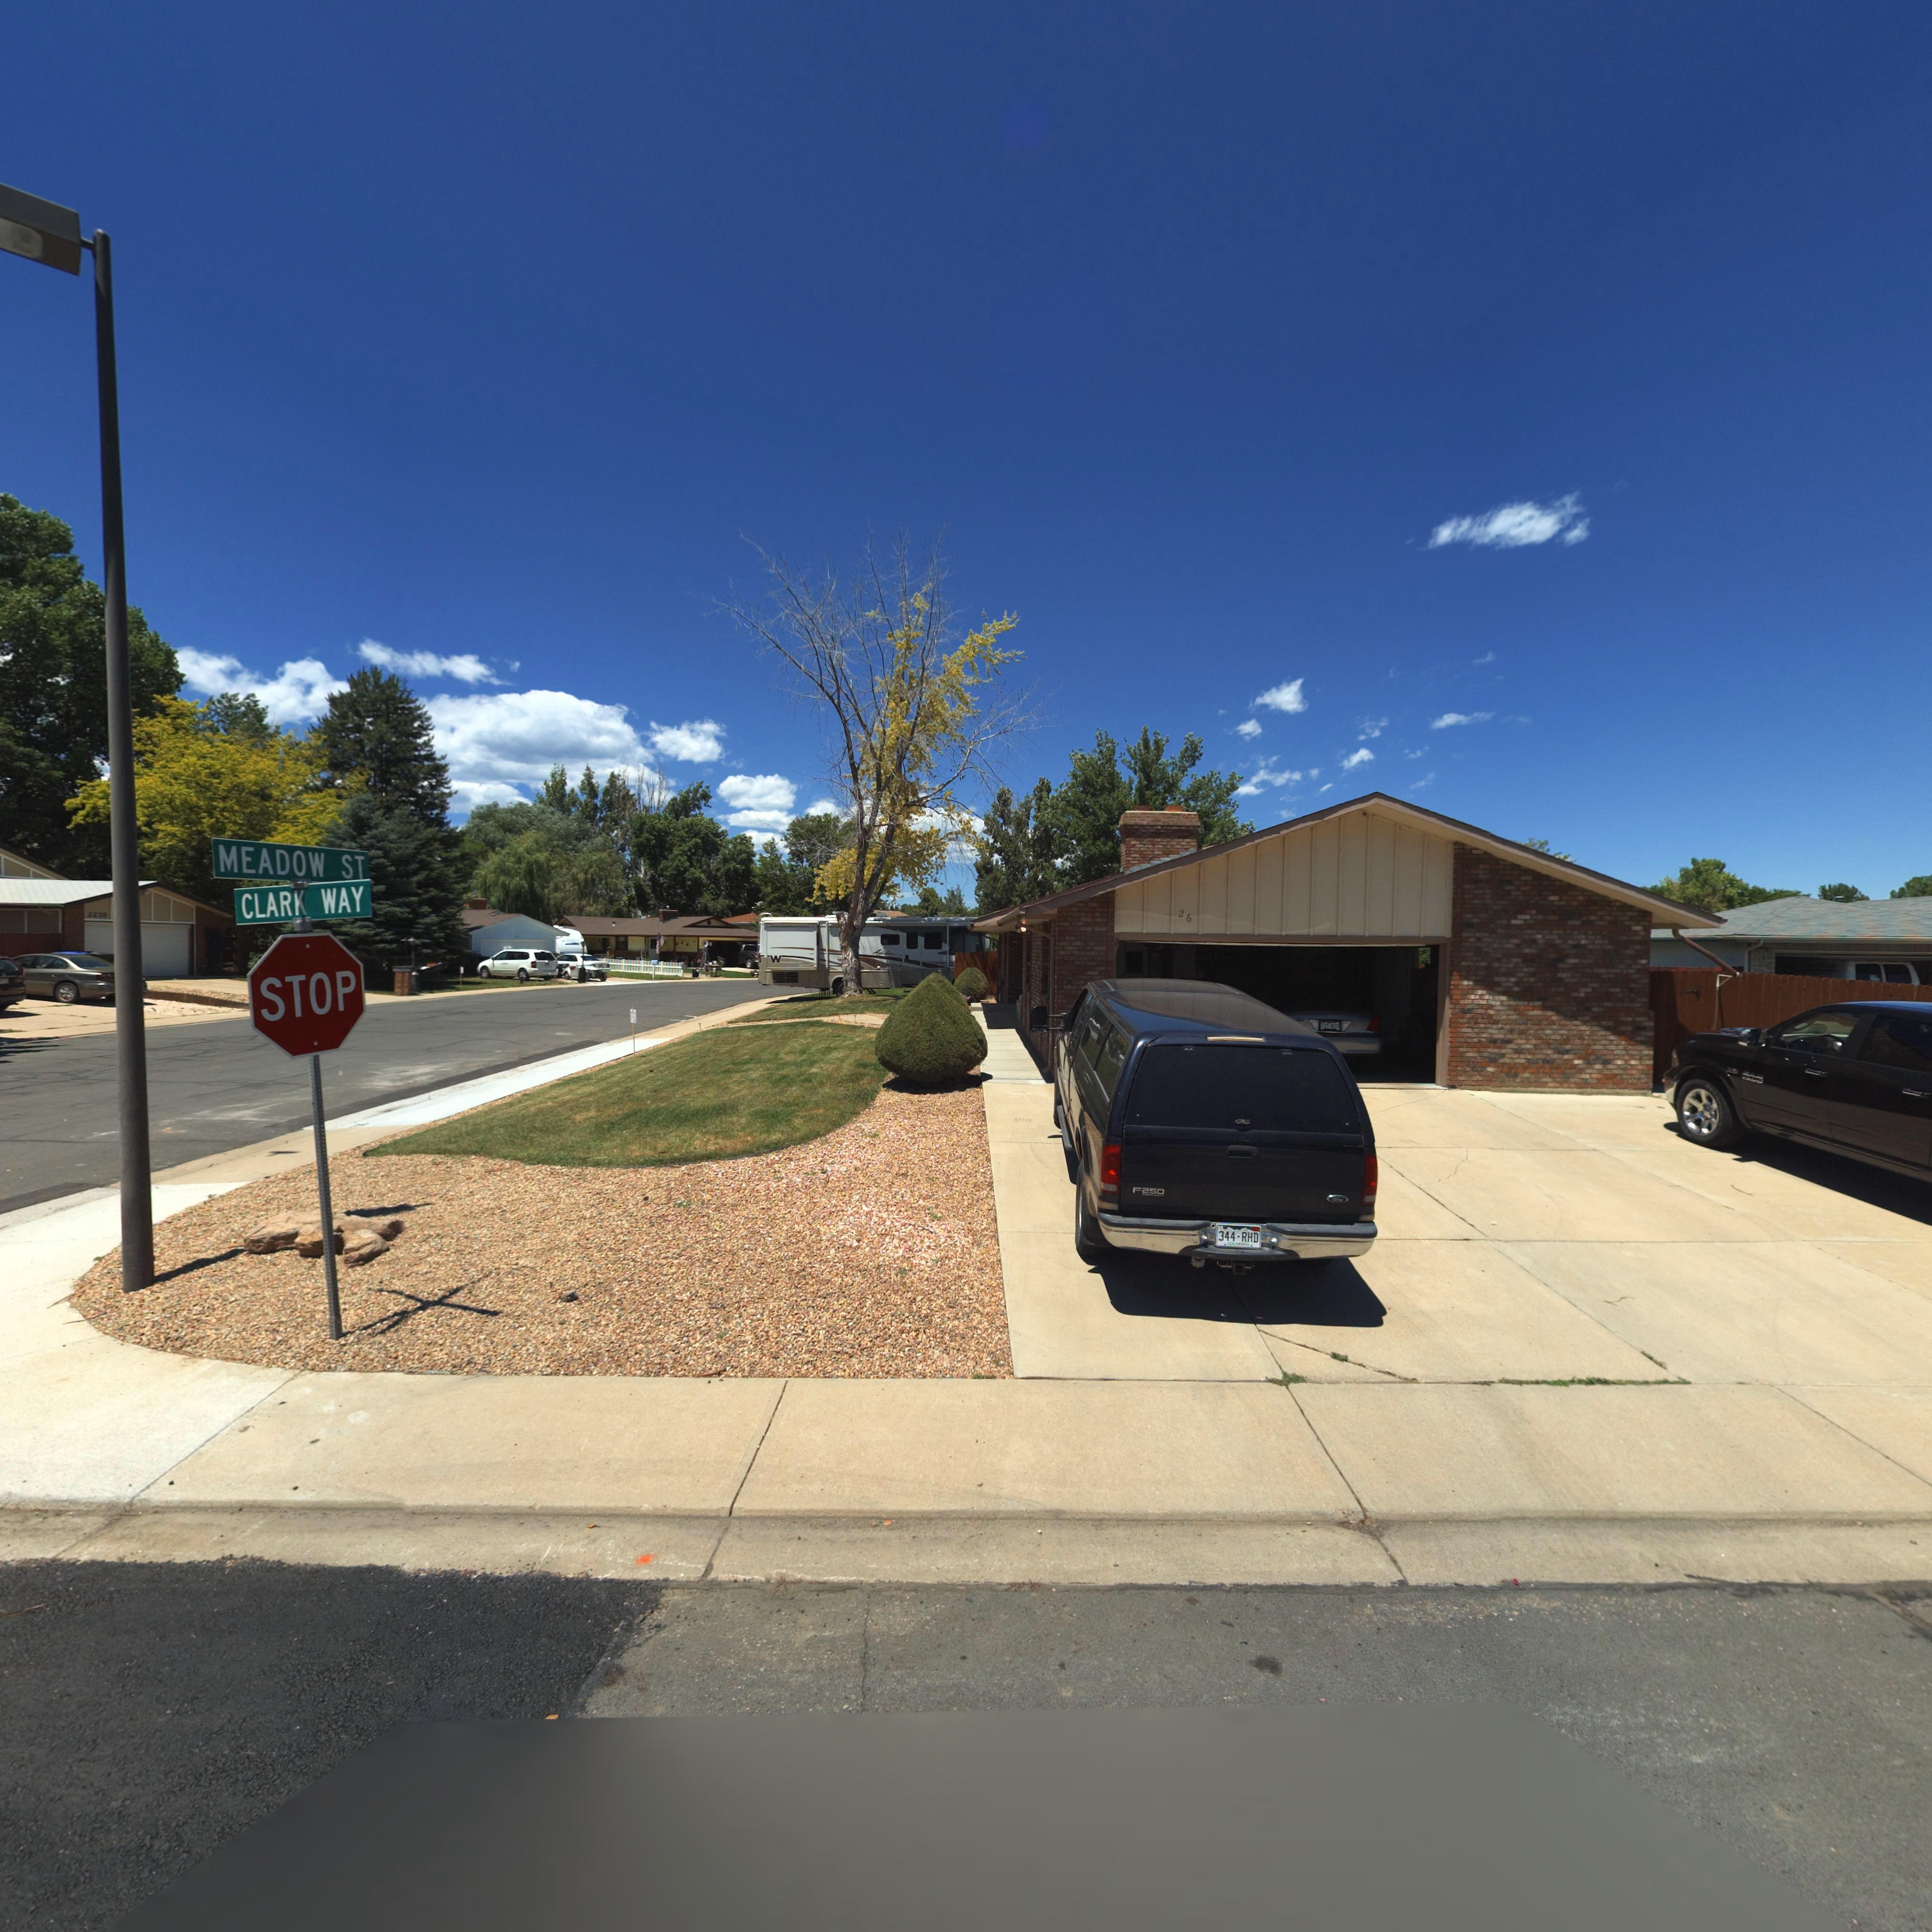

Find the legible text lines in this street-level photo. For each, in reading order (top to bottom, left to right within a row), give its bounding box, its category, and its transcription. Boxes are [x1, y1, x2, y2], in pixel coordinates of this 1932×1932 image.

[217, 843, 365, 880] StreetName: MEADOW ST
[87, 911, 108, 918] StreetNumber: 2239
[241, 885, 365, 919] StreetName: CLARK WAY
[1178, 909, 1192, 923] StreetNumber: 26